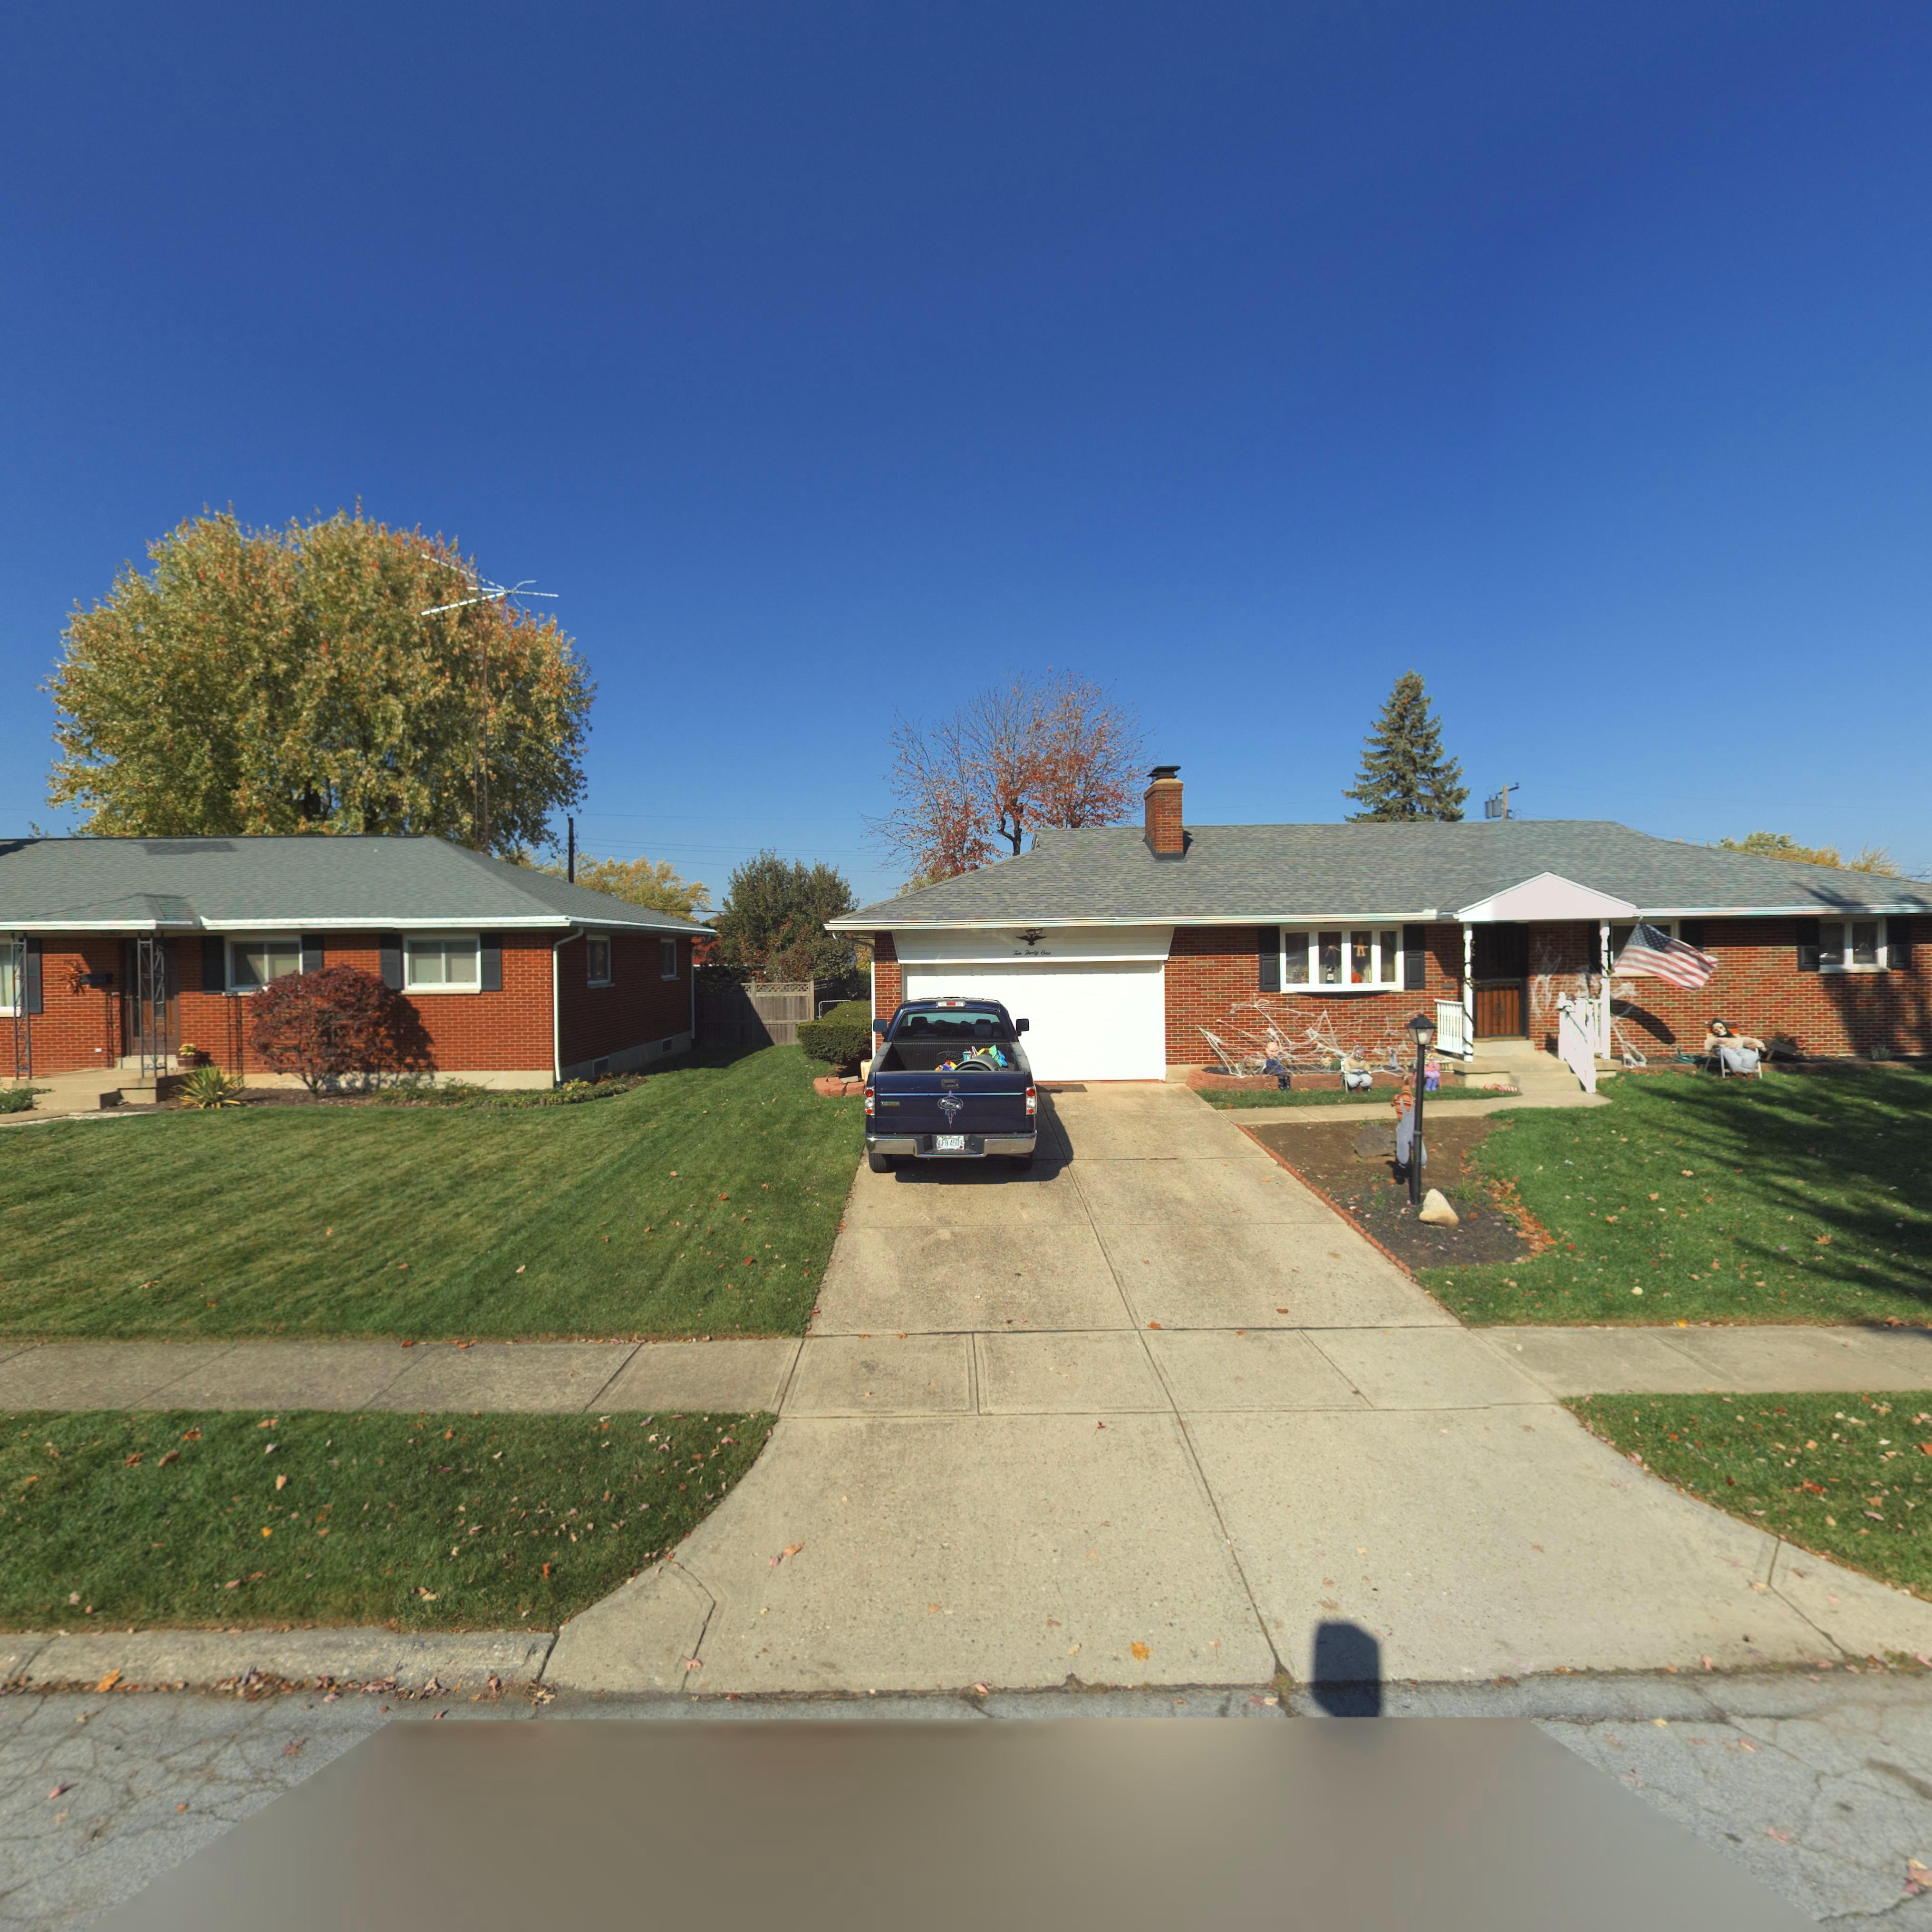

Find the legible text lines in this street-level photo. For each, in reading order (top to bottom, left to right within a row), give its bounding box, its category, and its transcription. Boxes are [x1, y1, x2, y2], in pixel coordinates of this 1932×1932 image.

[1012, 949, 1051, 956] StreetNumber: Ten Thirty One
[1439, 1063, 1449, 1071] StreetNumber: 031